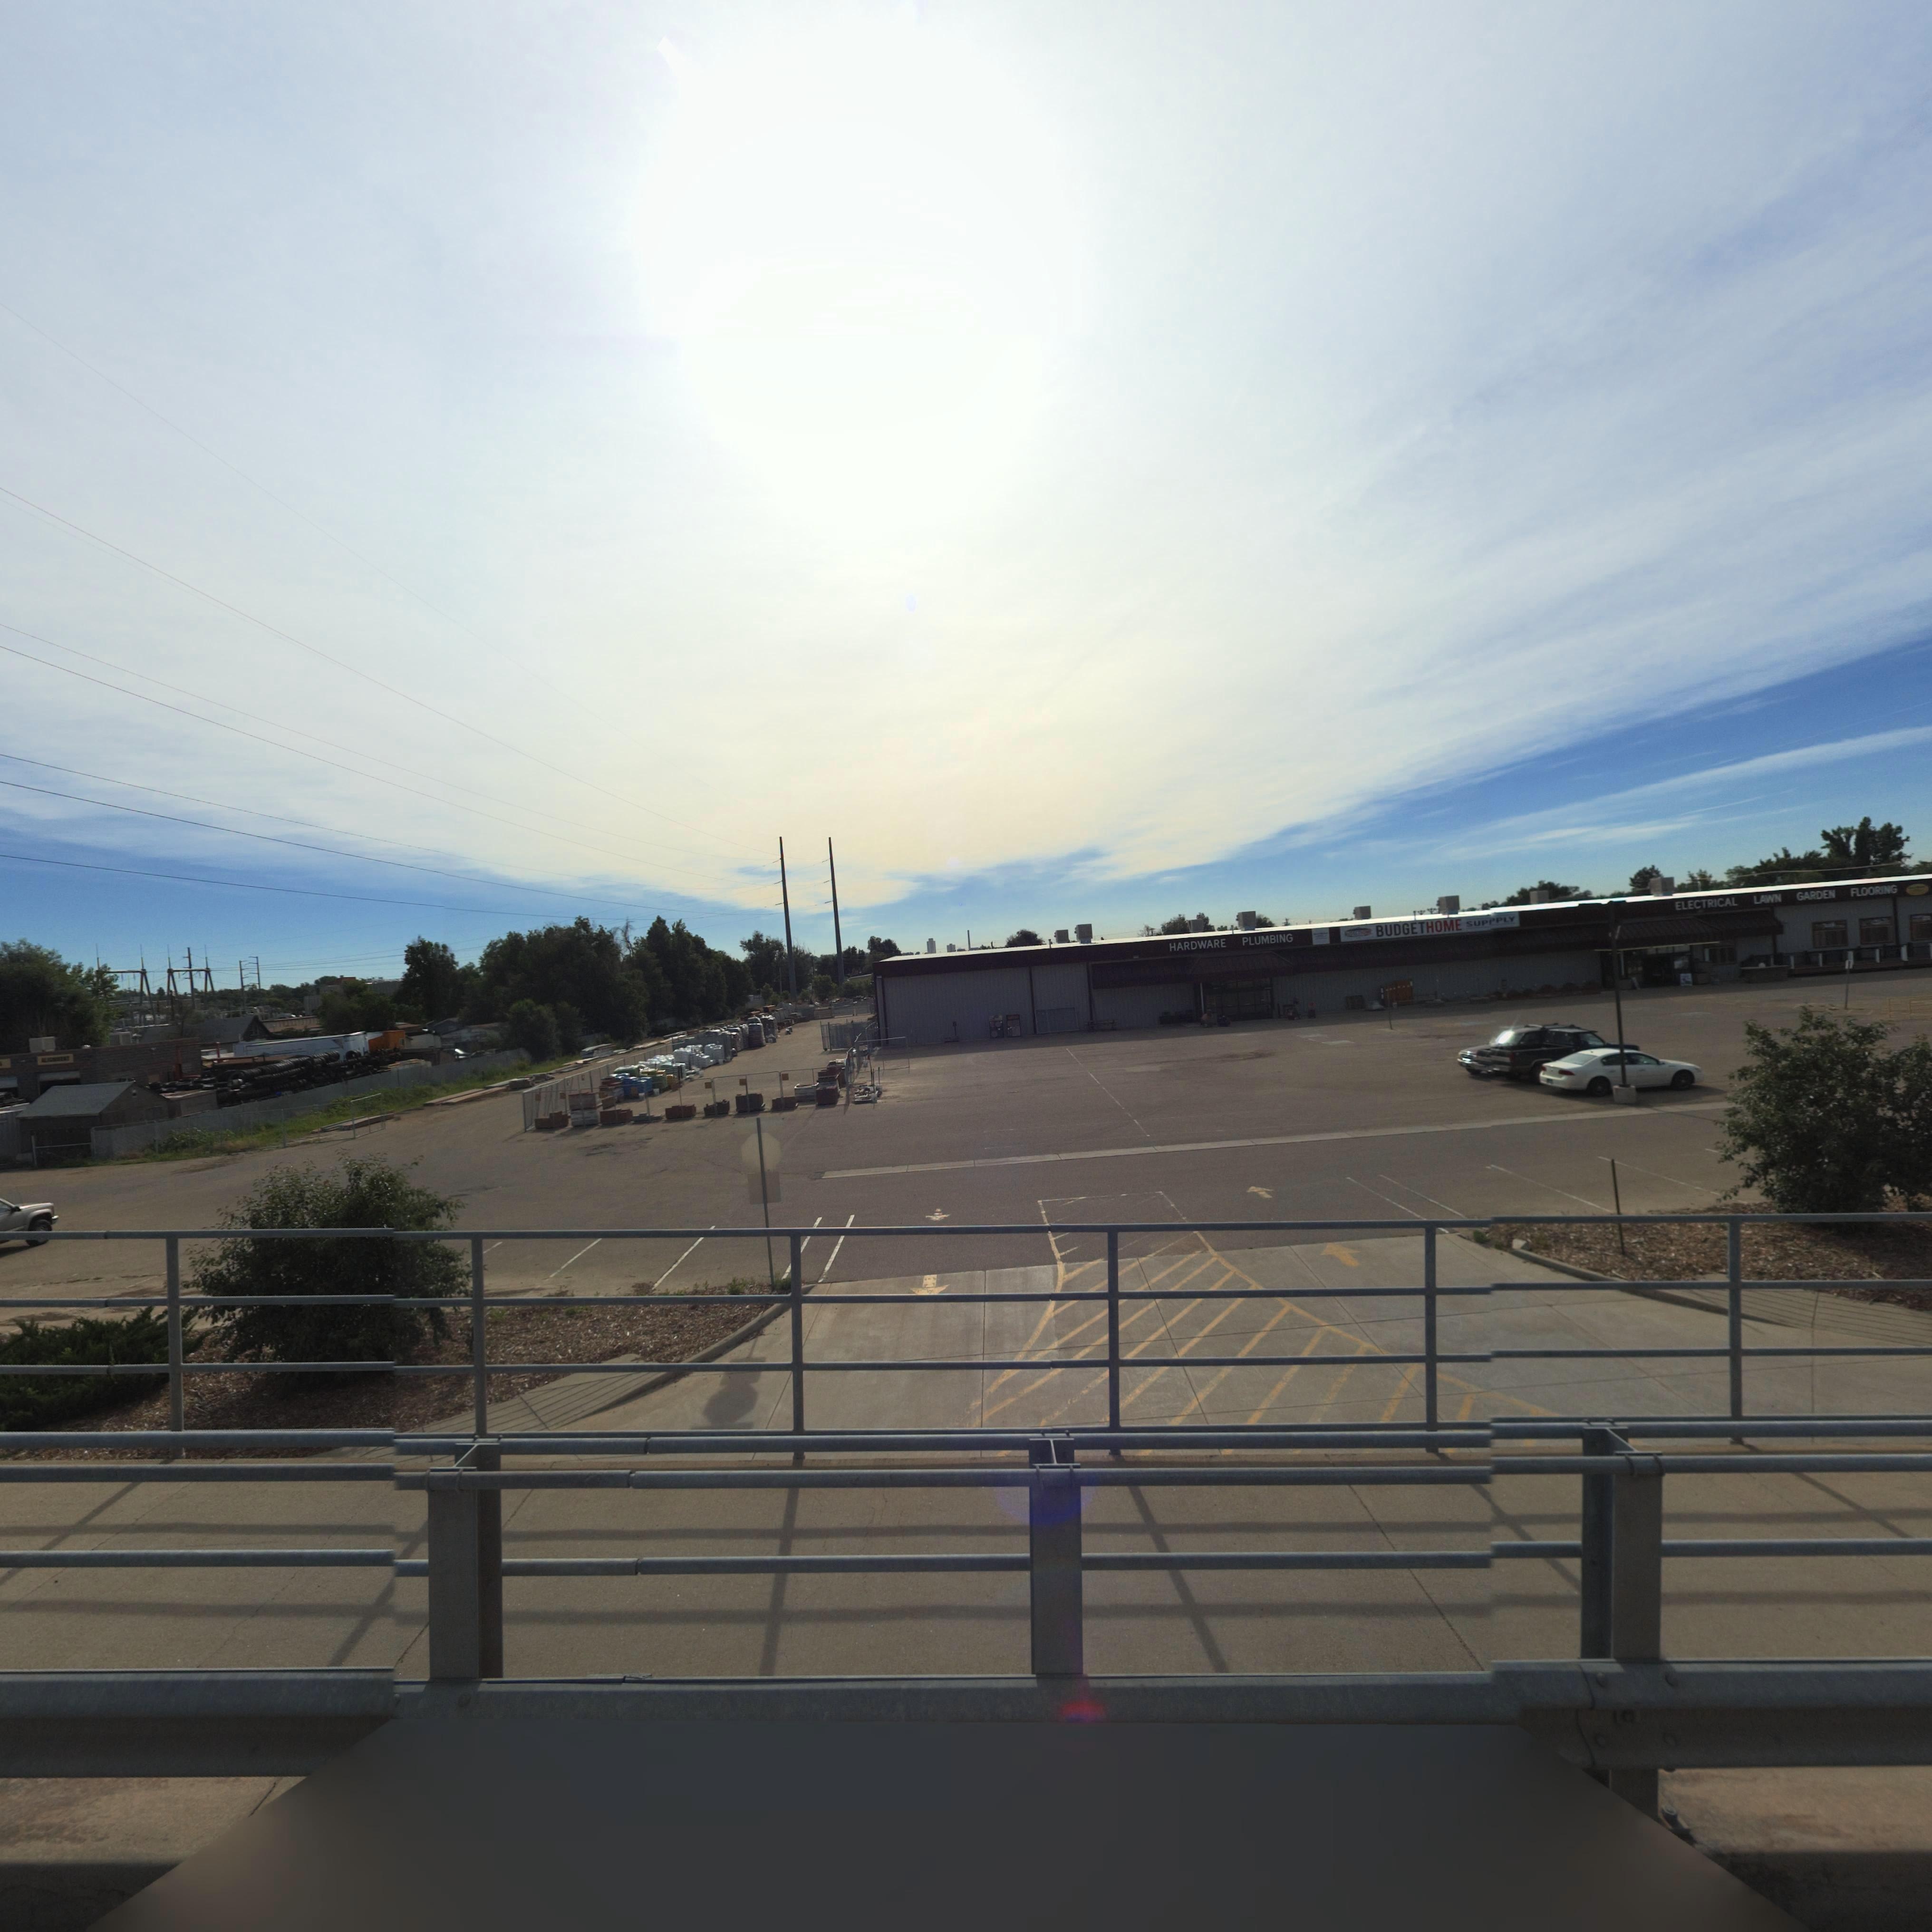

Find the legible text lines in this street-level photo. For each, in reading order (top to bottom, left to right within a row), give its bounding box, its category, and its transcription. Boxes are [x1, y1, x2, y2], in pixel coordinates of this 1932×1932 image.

[1375, 918, 1462, 937] BusinessName: BUDGETHOME
[1466, 915, 1517, 927] BusinessName: SUP*PLY